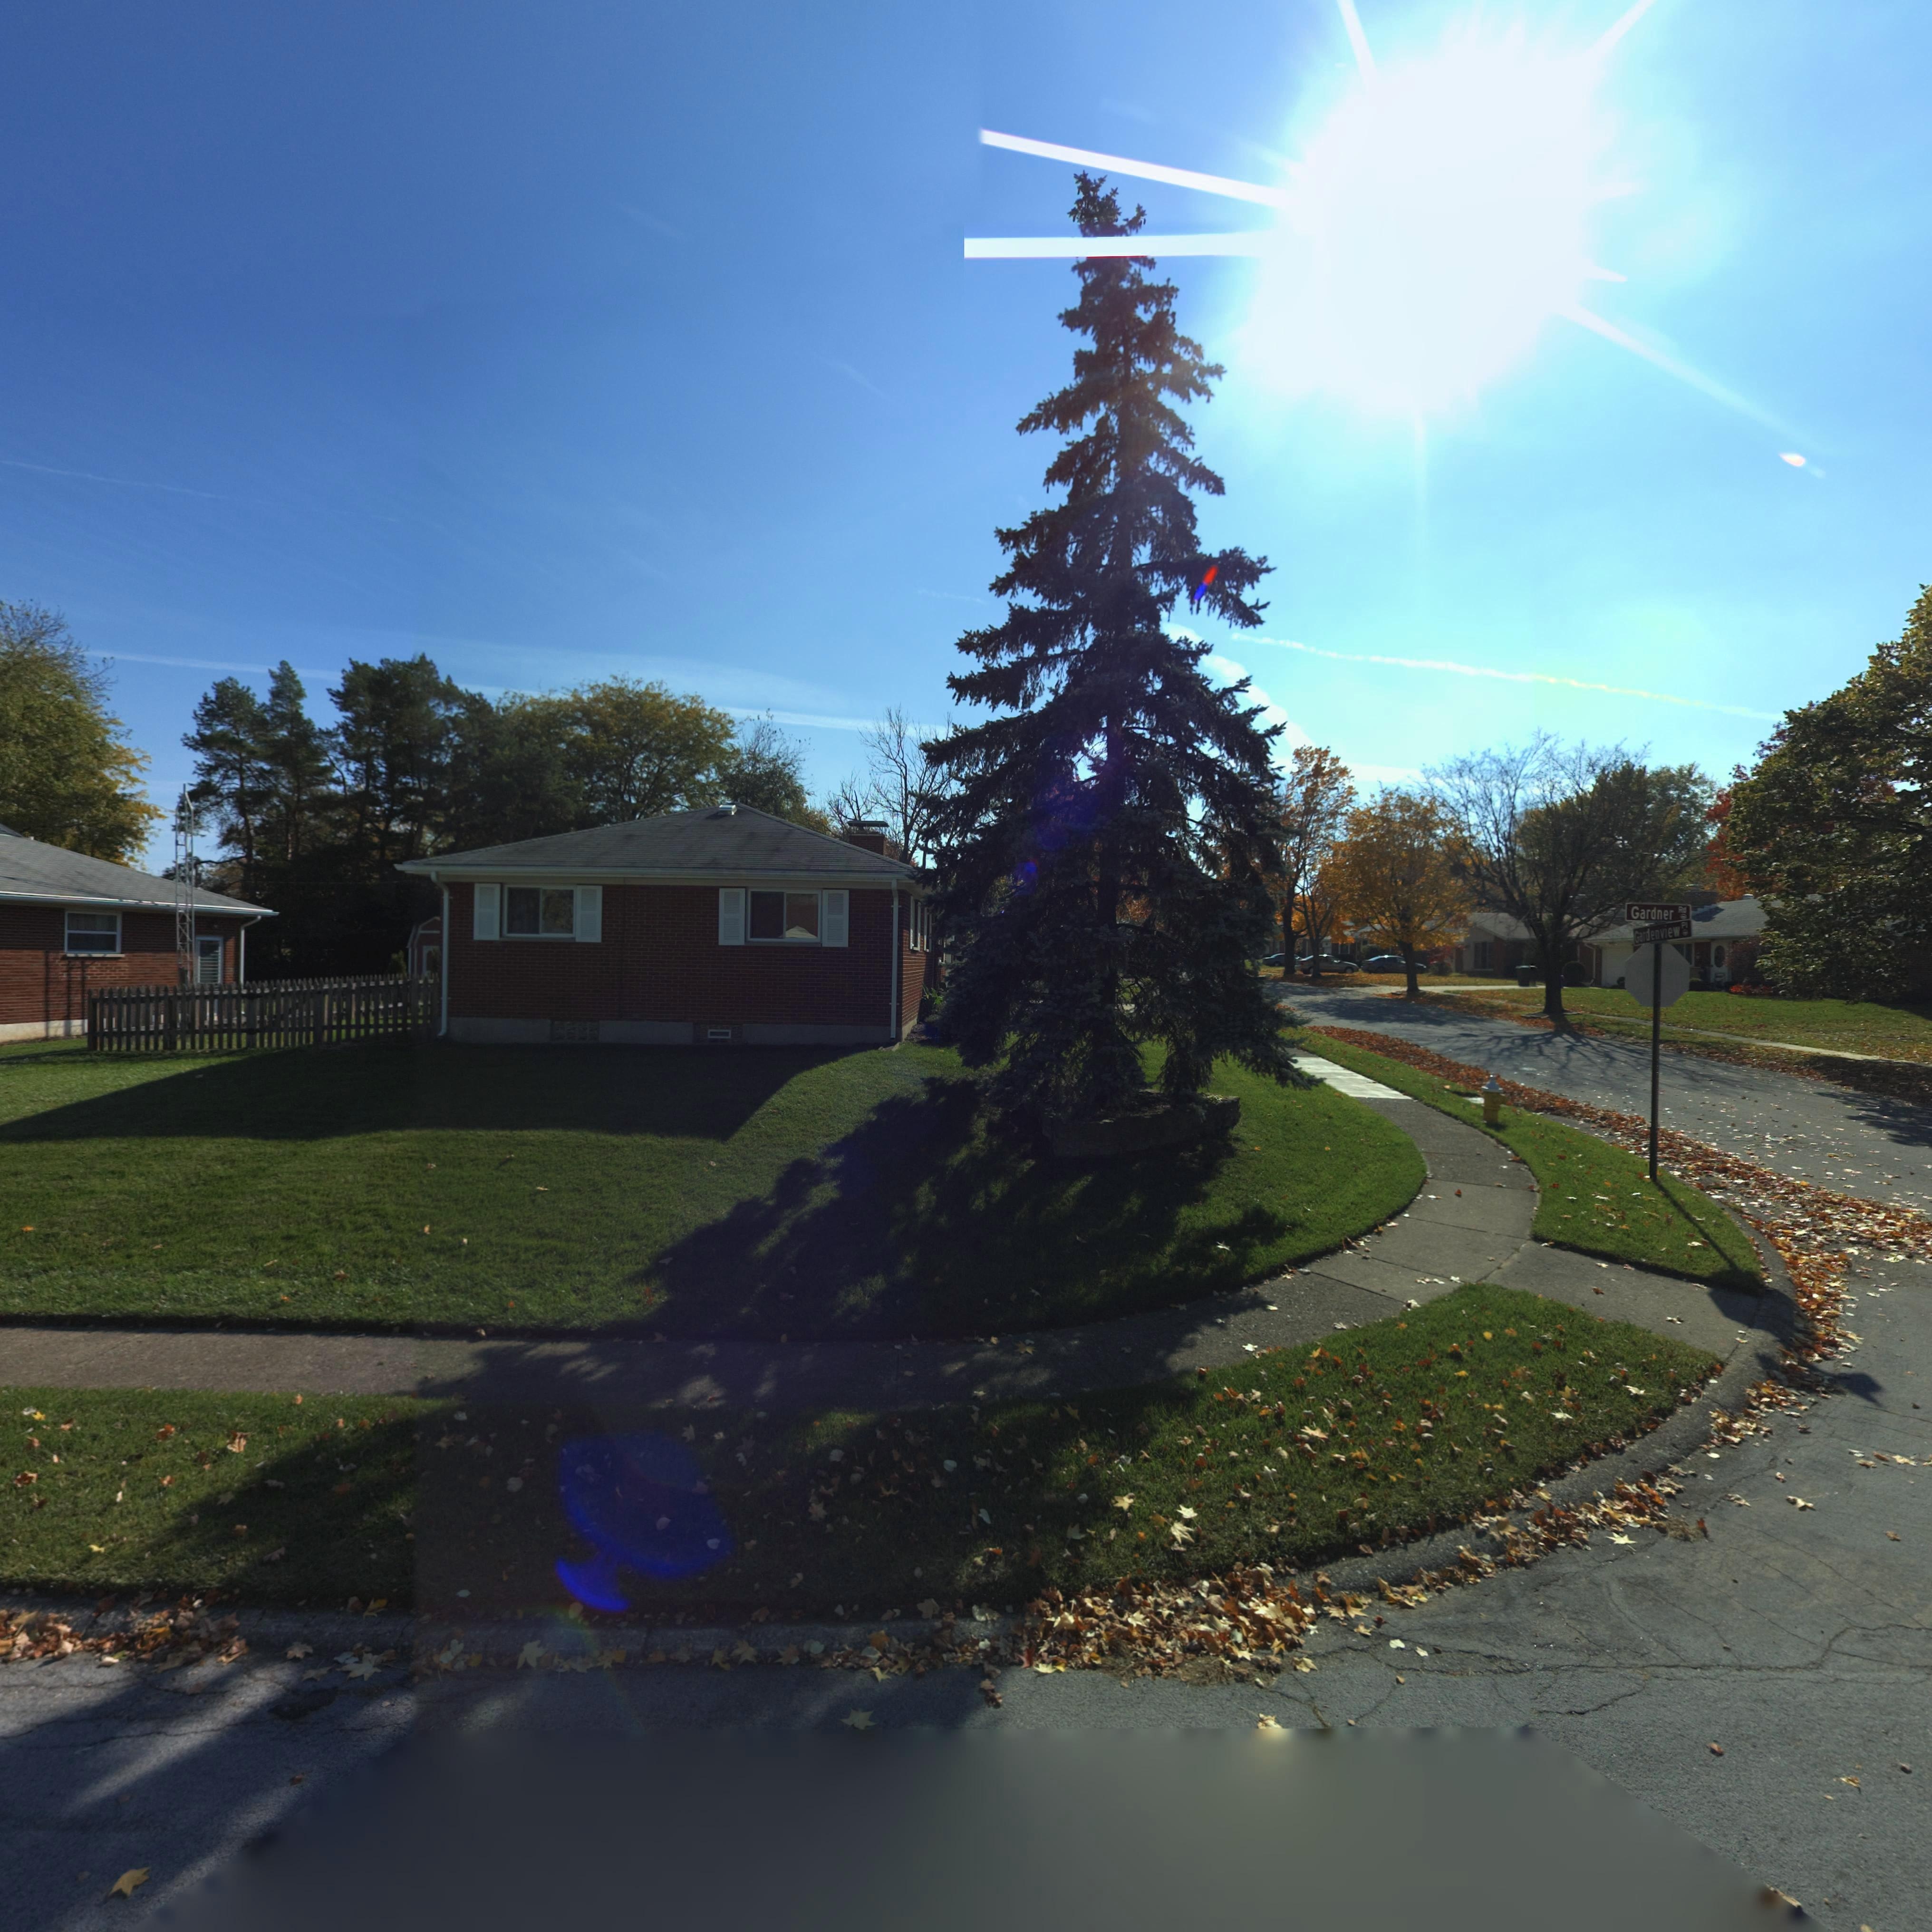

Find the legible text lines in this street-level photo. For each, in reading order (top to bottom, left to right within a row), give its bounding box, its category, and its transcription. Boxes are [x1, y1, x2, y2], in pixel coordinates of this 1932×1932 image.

[1631, 905, 1687, 921] StreetName: Gardner Rd
[1634, 921, 1688, 944] StreetName: Gardenview Pl